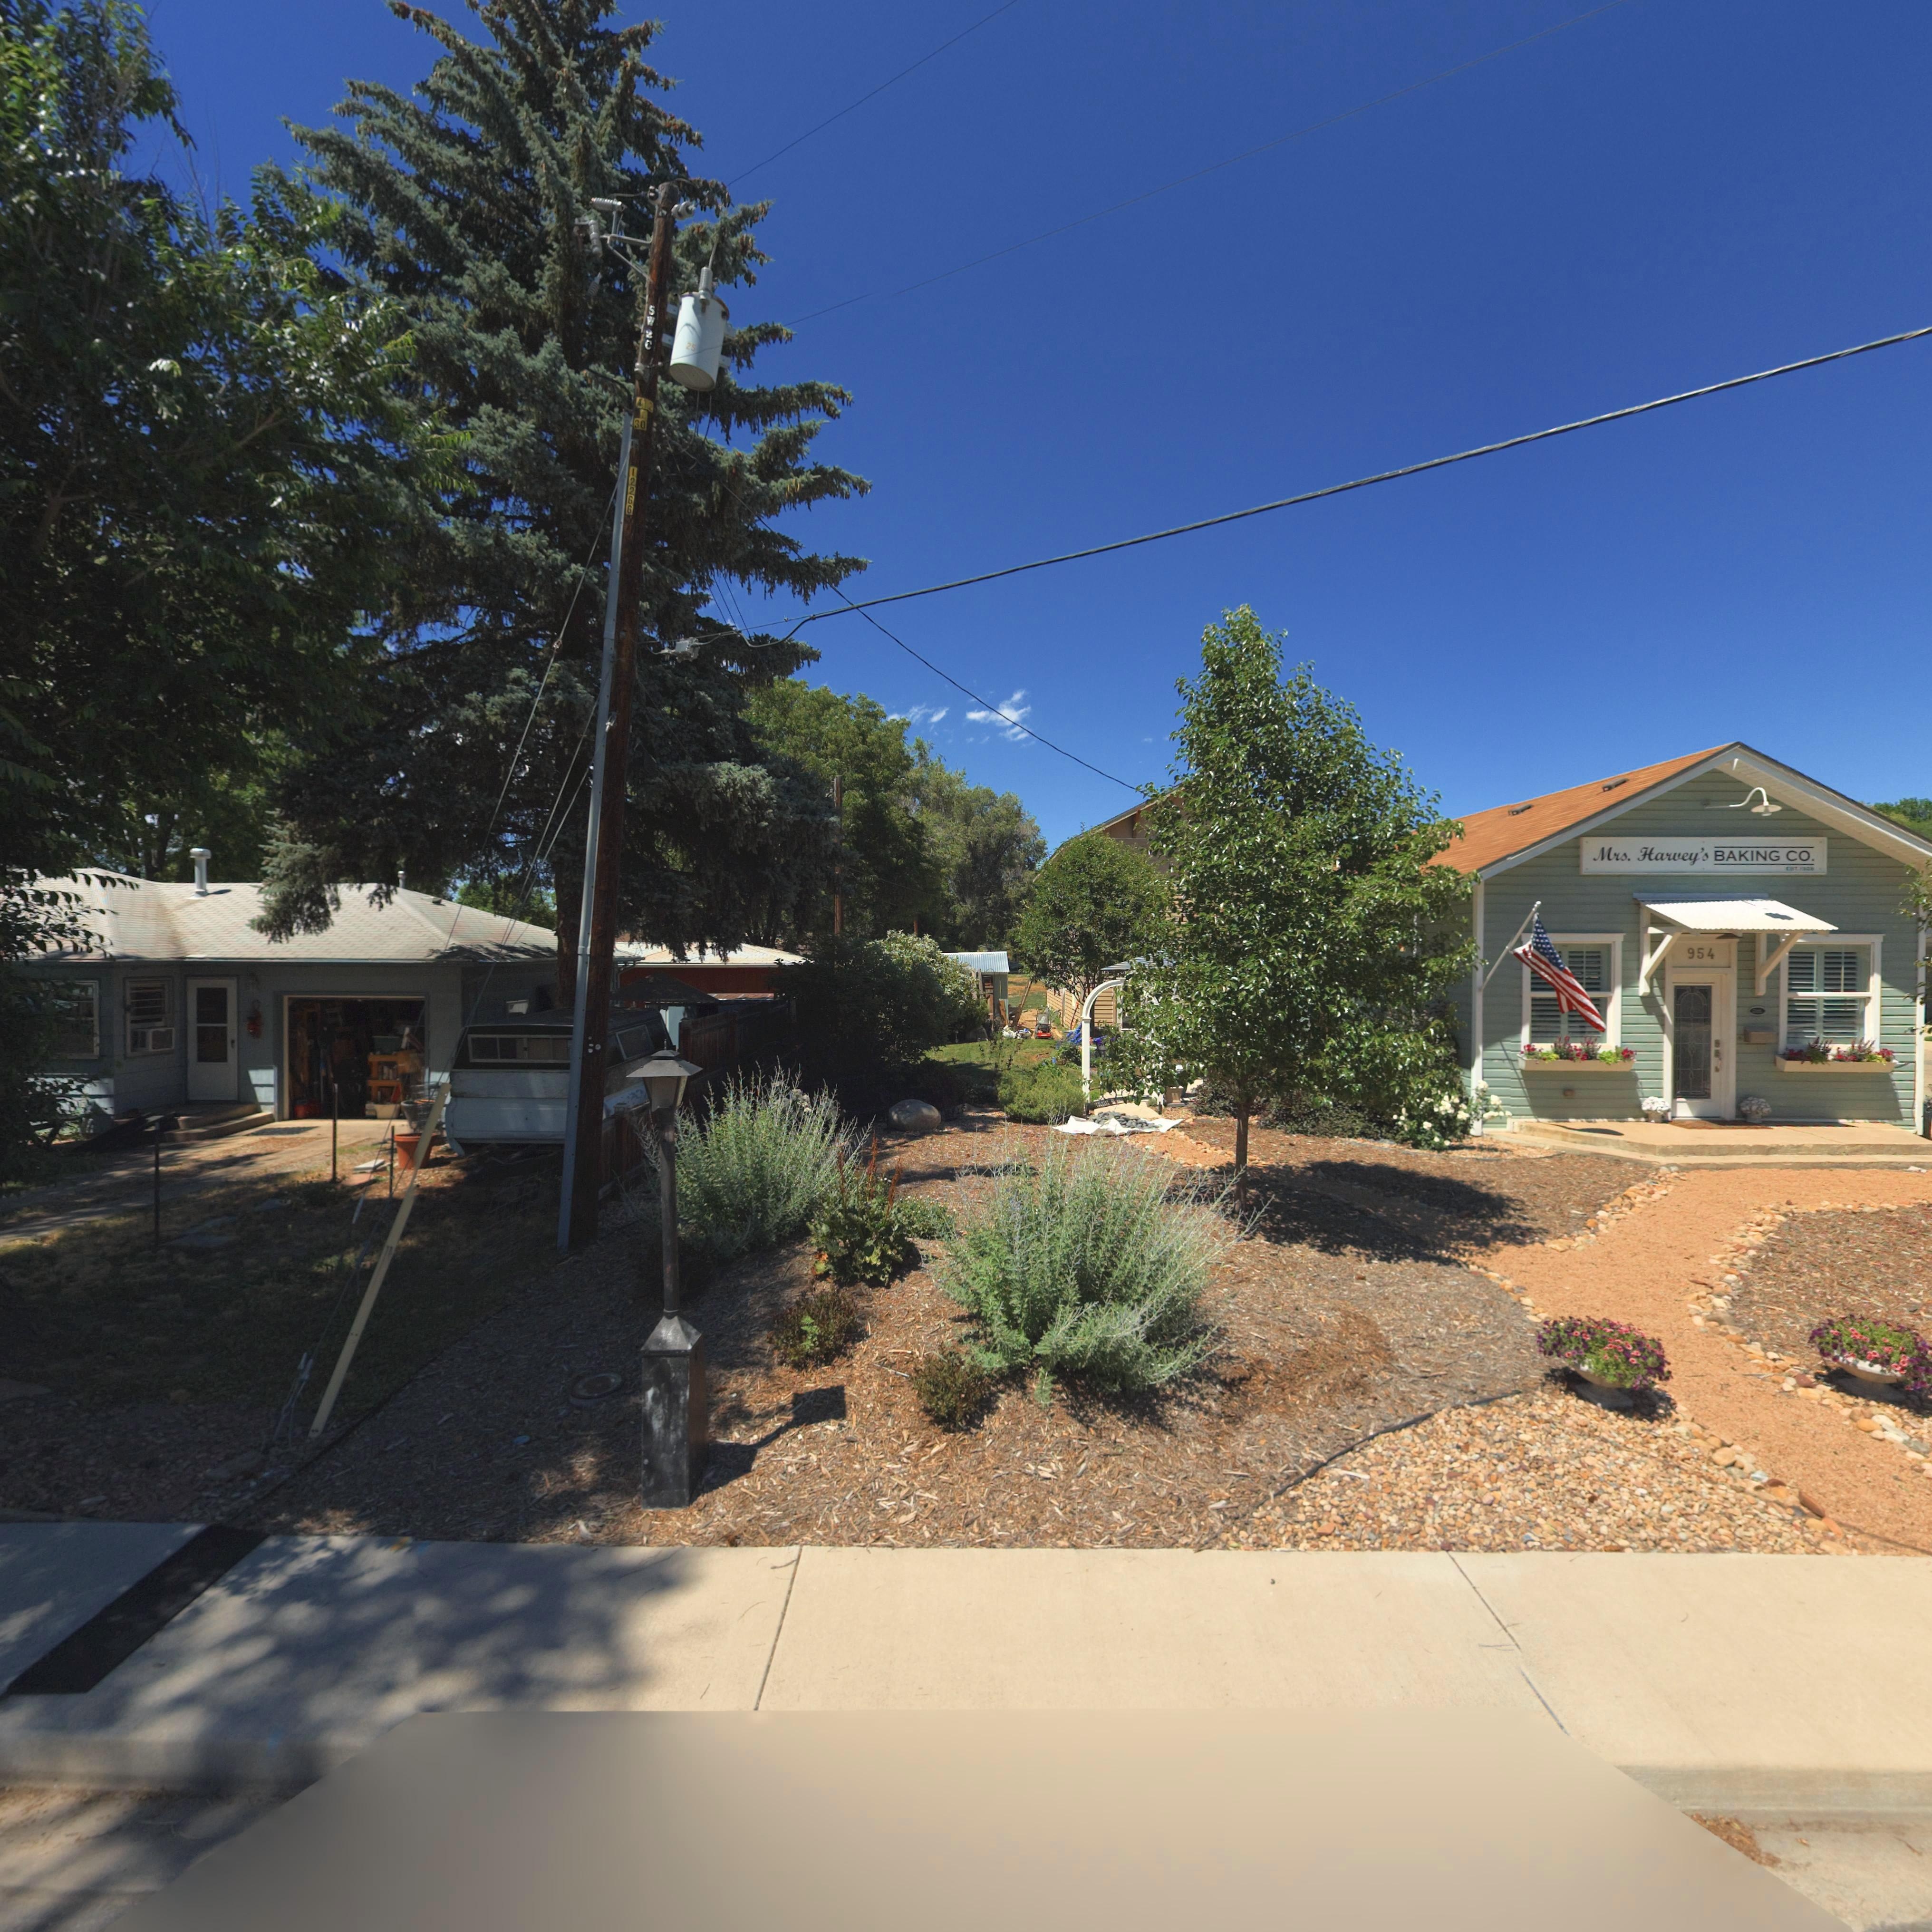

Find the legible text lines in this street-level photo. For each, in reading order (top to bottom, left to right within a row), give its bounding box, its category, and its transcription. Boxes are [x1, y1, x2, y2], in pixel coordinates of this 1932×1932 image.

[1592, 846, 1811, 867] BusinessName: Mrs. Harvey's BAKING CO
[1687, 947, 1715, 959] StreetNumber: 954